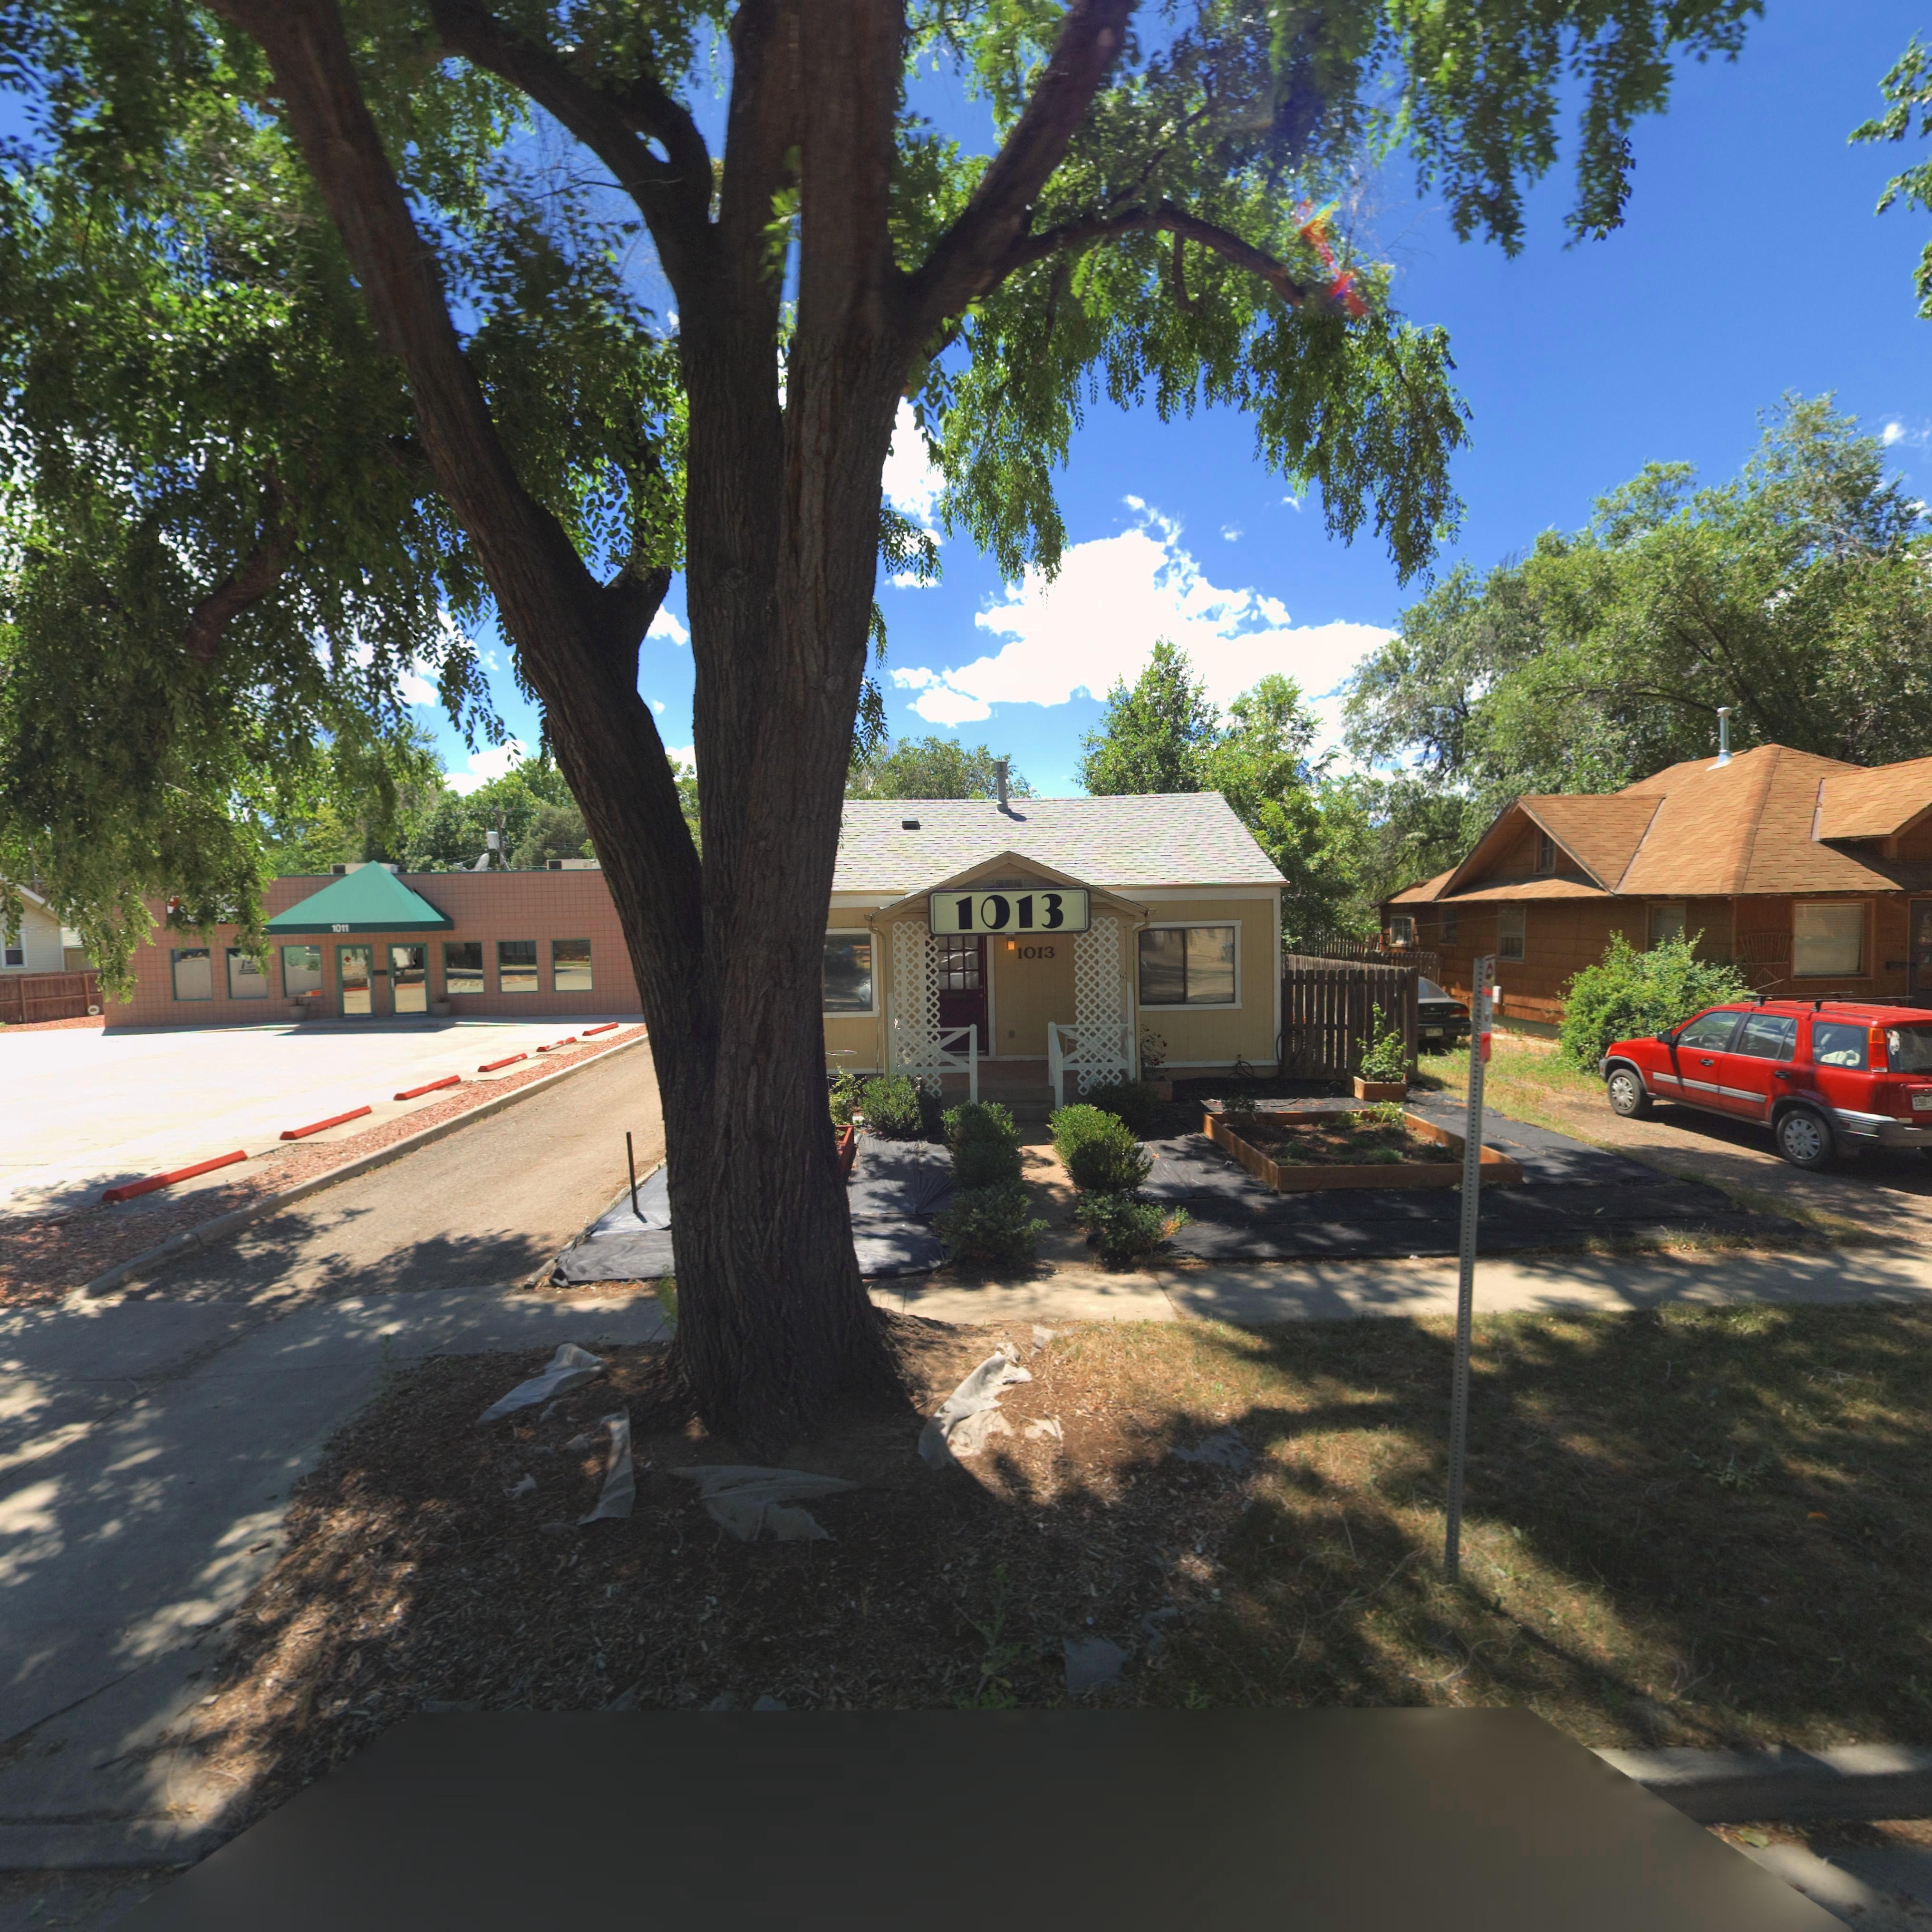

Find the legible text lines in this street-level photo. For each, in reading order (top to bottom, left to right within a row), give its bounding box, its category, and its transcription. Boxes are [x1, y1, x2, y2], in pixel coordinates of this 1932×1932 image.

[954, 891, 1065, 931] StreetNumber: 1013
[331, 924, 349, 932] StreetNumber: 1011
[1018, 946, 1055, 959] StreetNumber: 1013